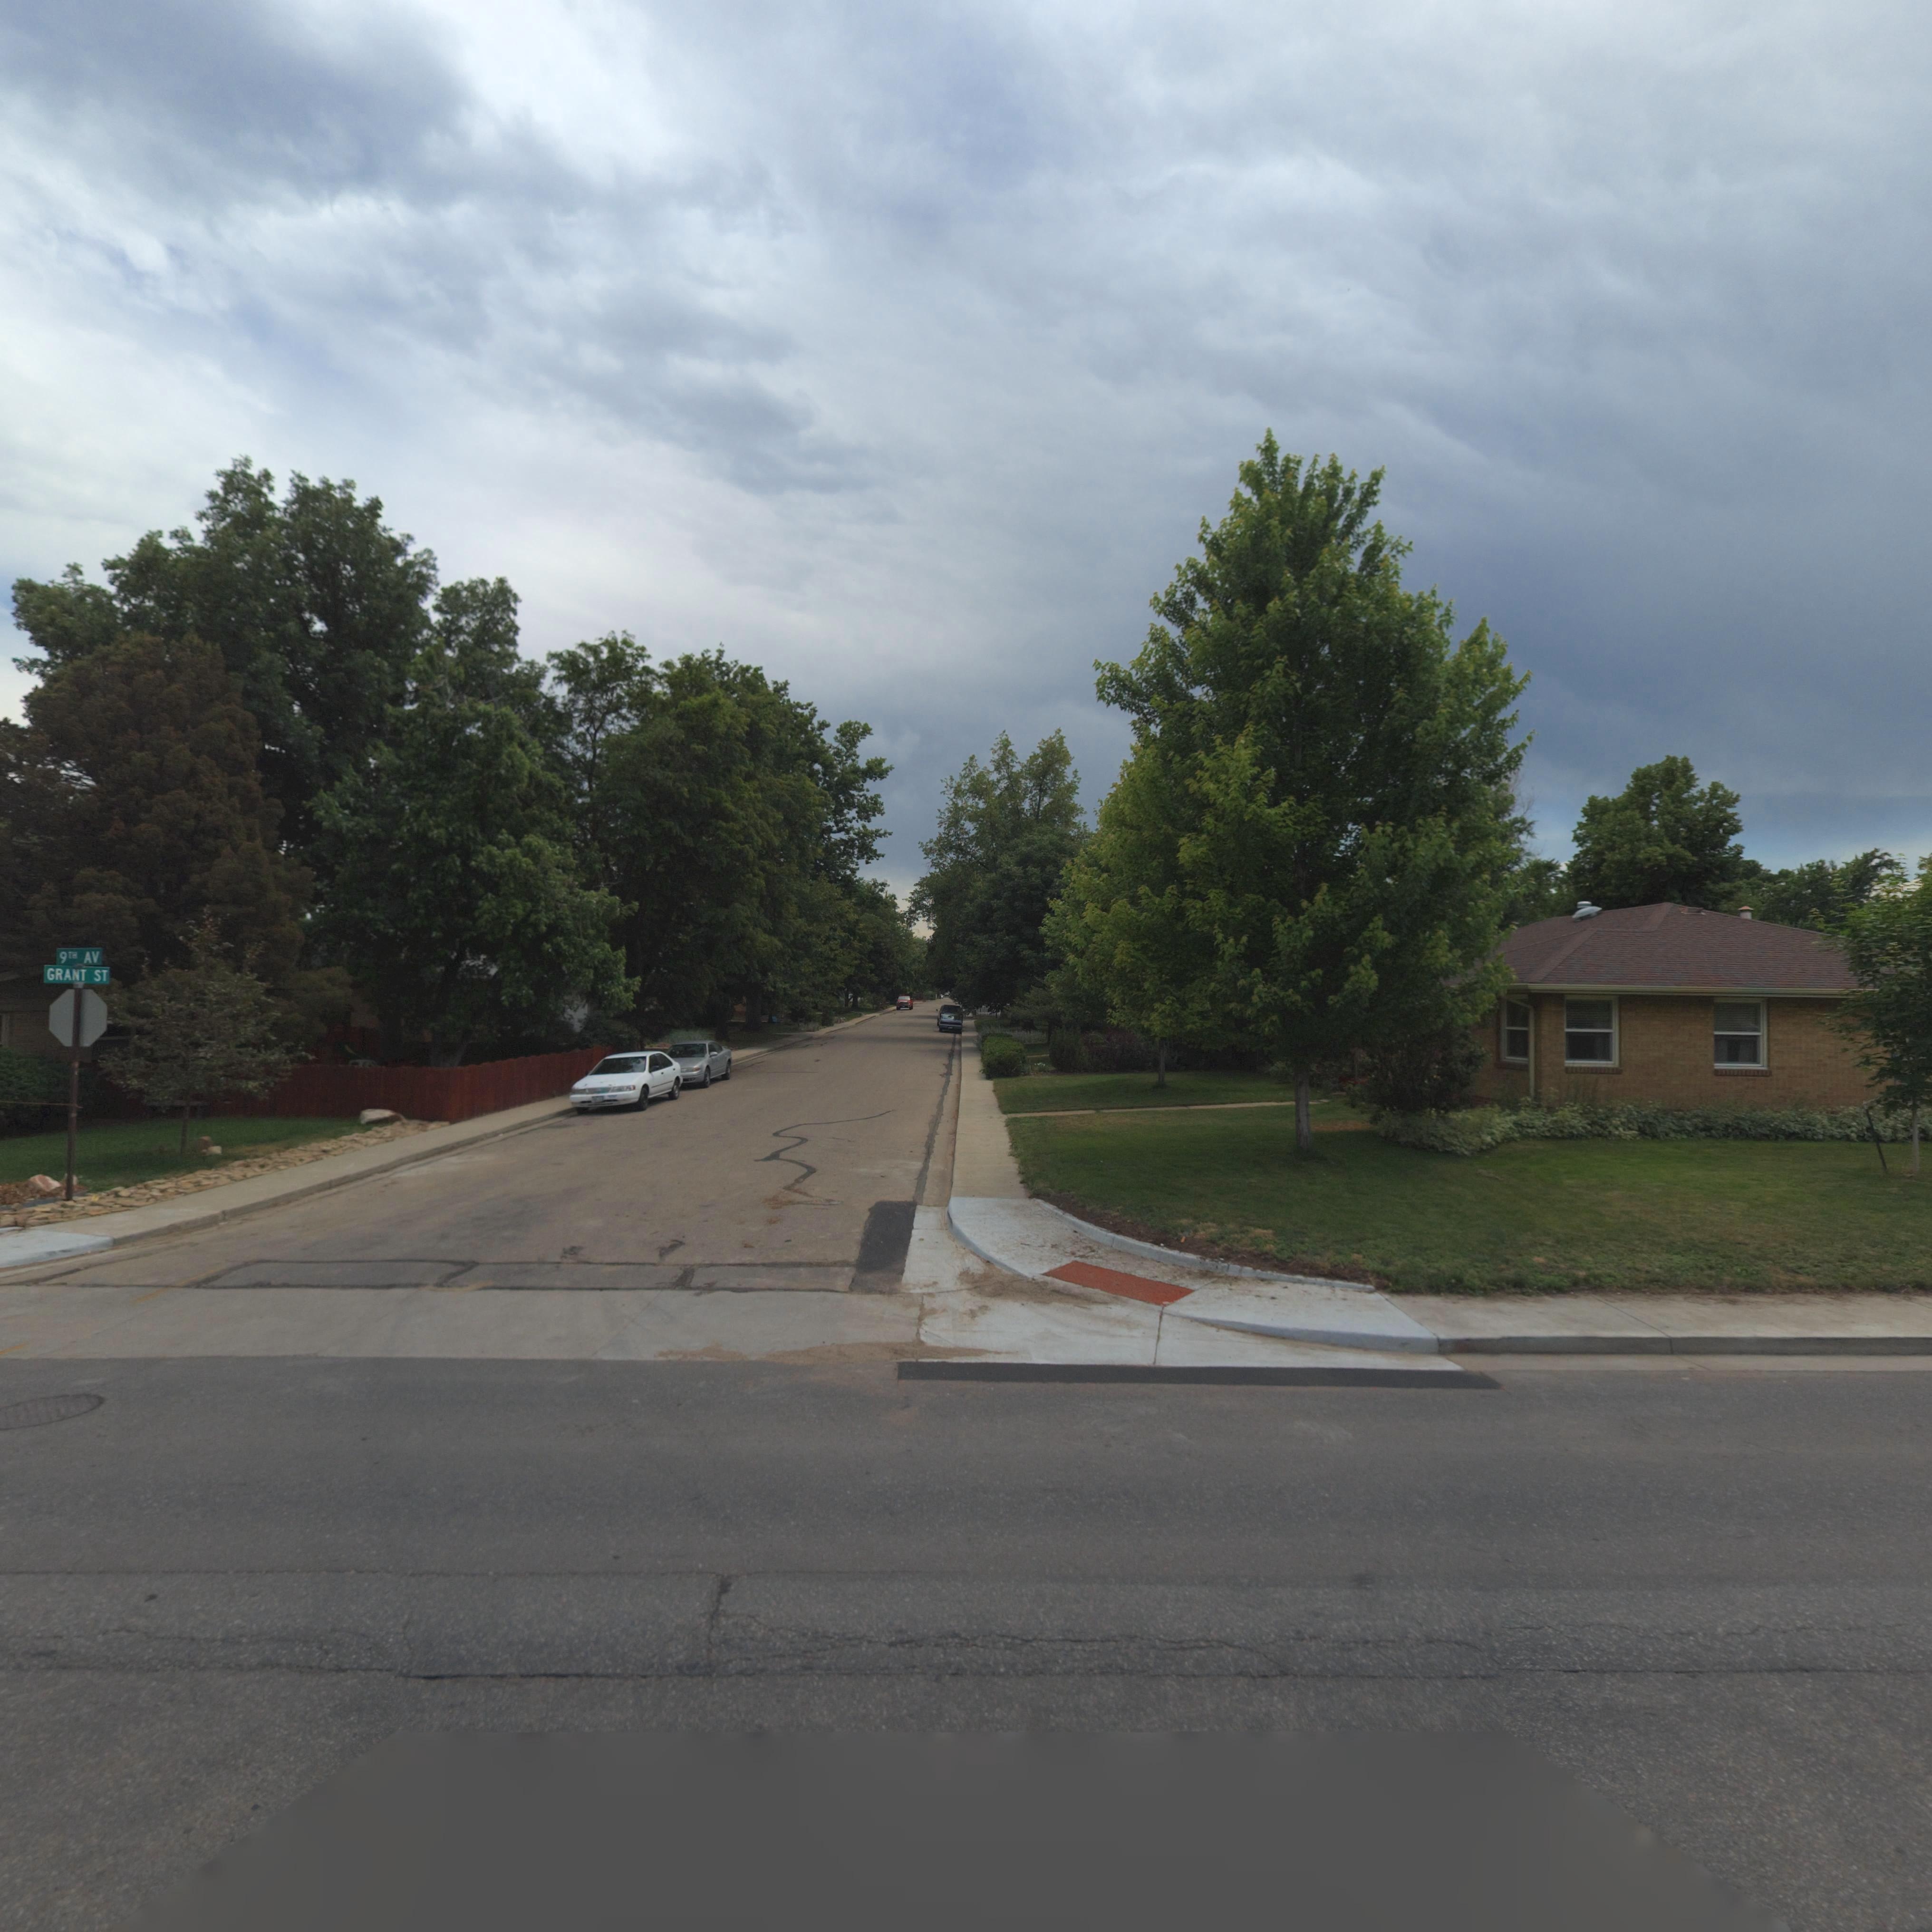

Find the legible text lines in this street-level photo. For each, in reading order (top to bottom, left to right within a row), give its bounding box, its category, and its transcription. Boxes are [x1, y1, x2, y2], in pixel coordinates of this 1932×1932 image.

[58, 950, 100, 964] StreetName: 9TH AV
[46, 967, 108, 982] StreetName: GRANT ST